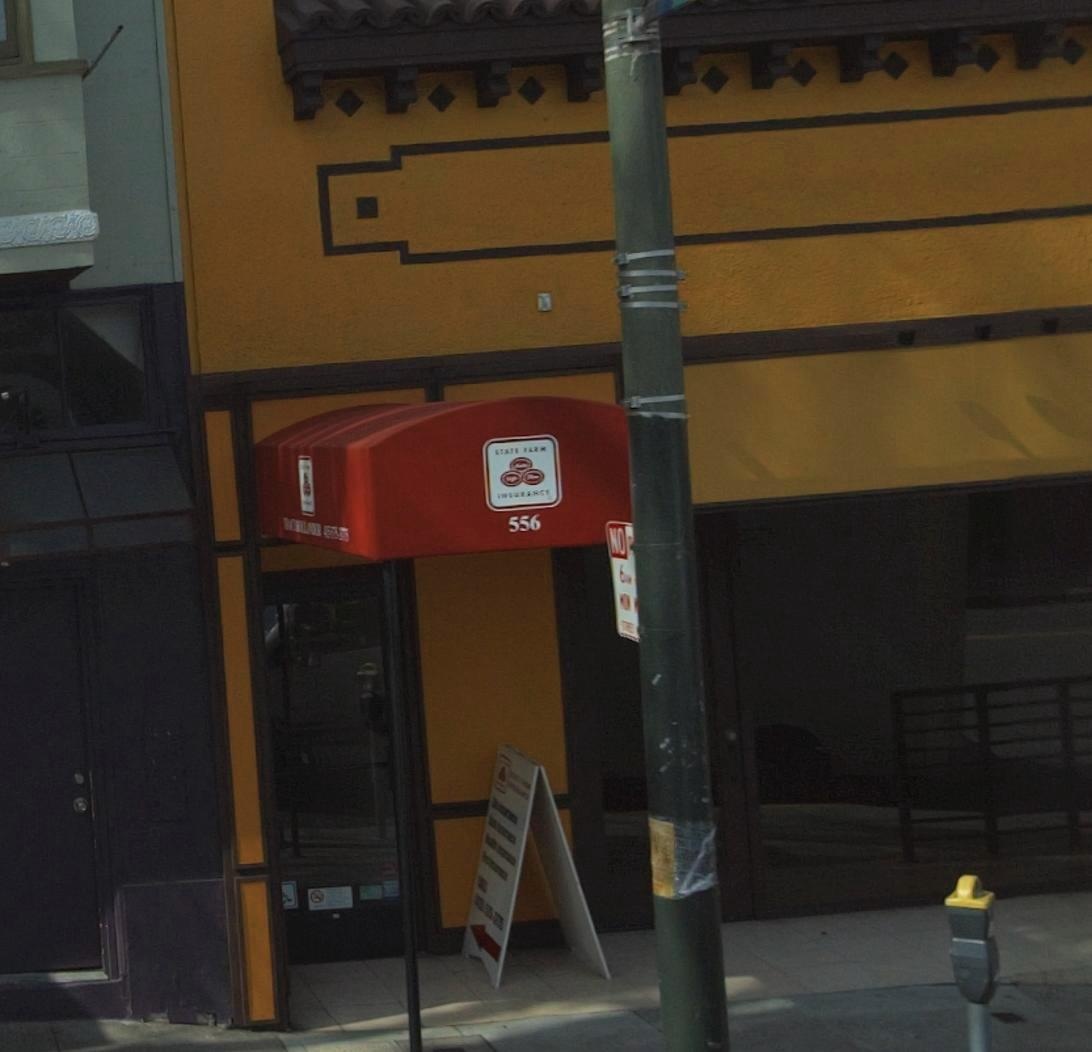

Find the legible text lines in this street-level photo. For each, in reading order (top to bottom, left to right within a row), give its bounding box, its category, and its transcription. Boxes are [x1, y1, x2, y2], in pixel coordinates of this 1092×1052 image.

[492, 443, 550, 456] None: STATE FARM
[494, 488, 553, 501] None: INSURANCE
[505, 512, 544, 535] StreetNumber: 556
[607, 525, 627, 562] None: NO